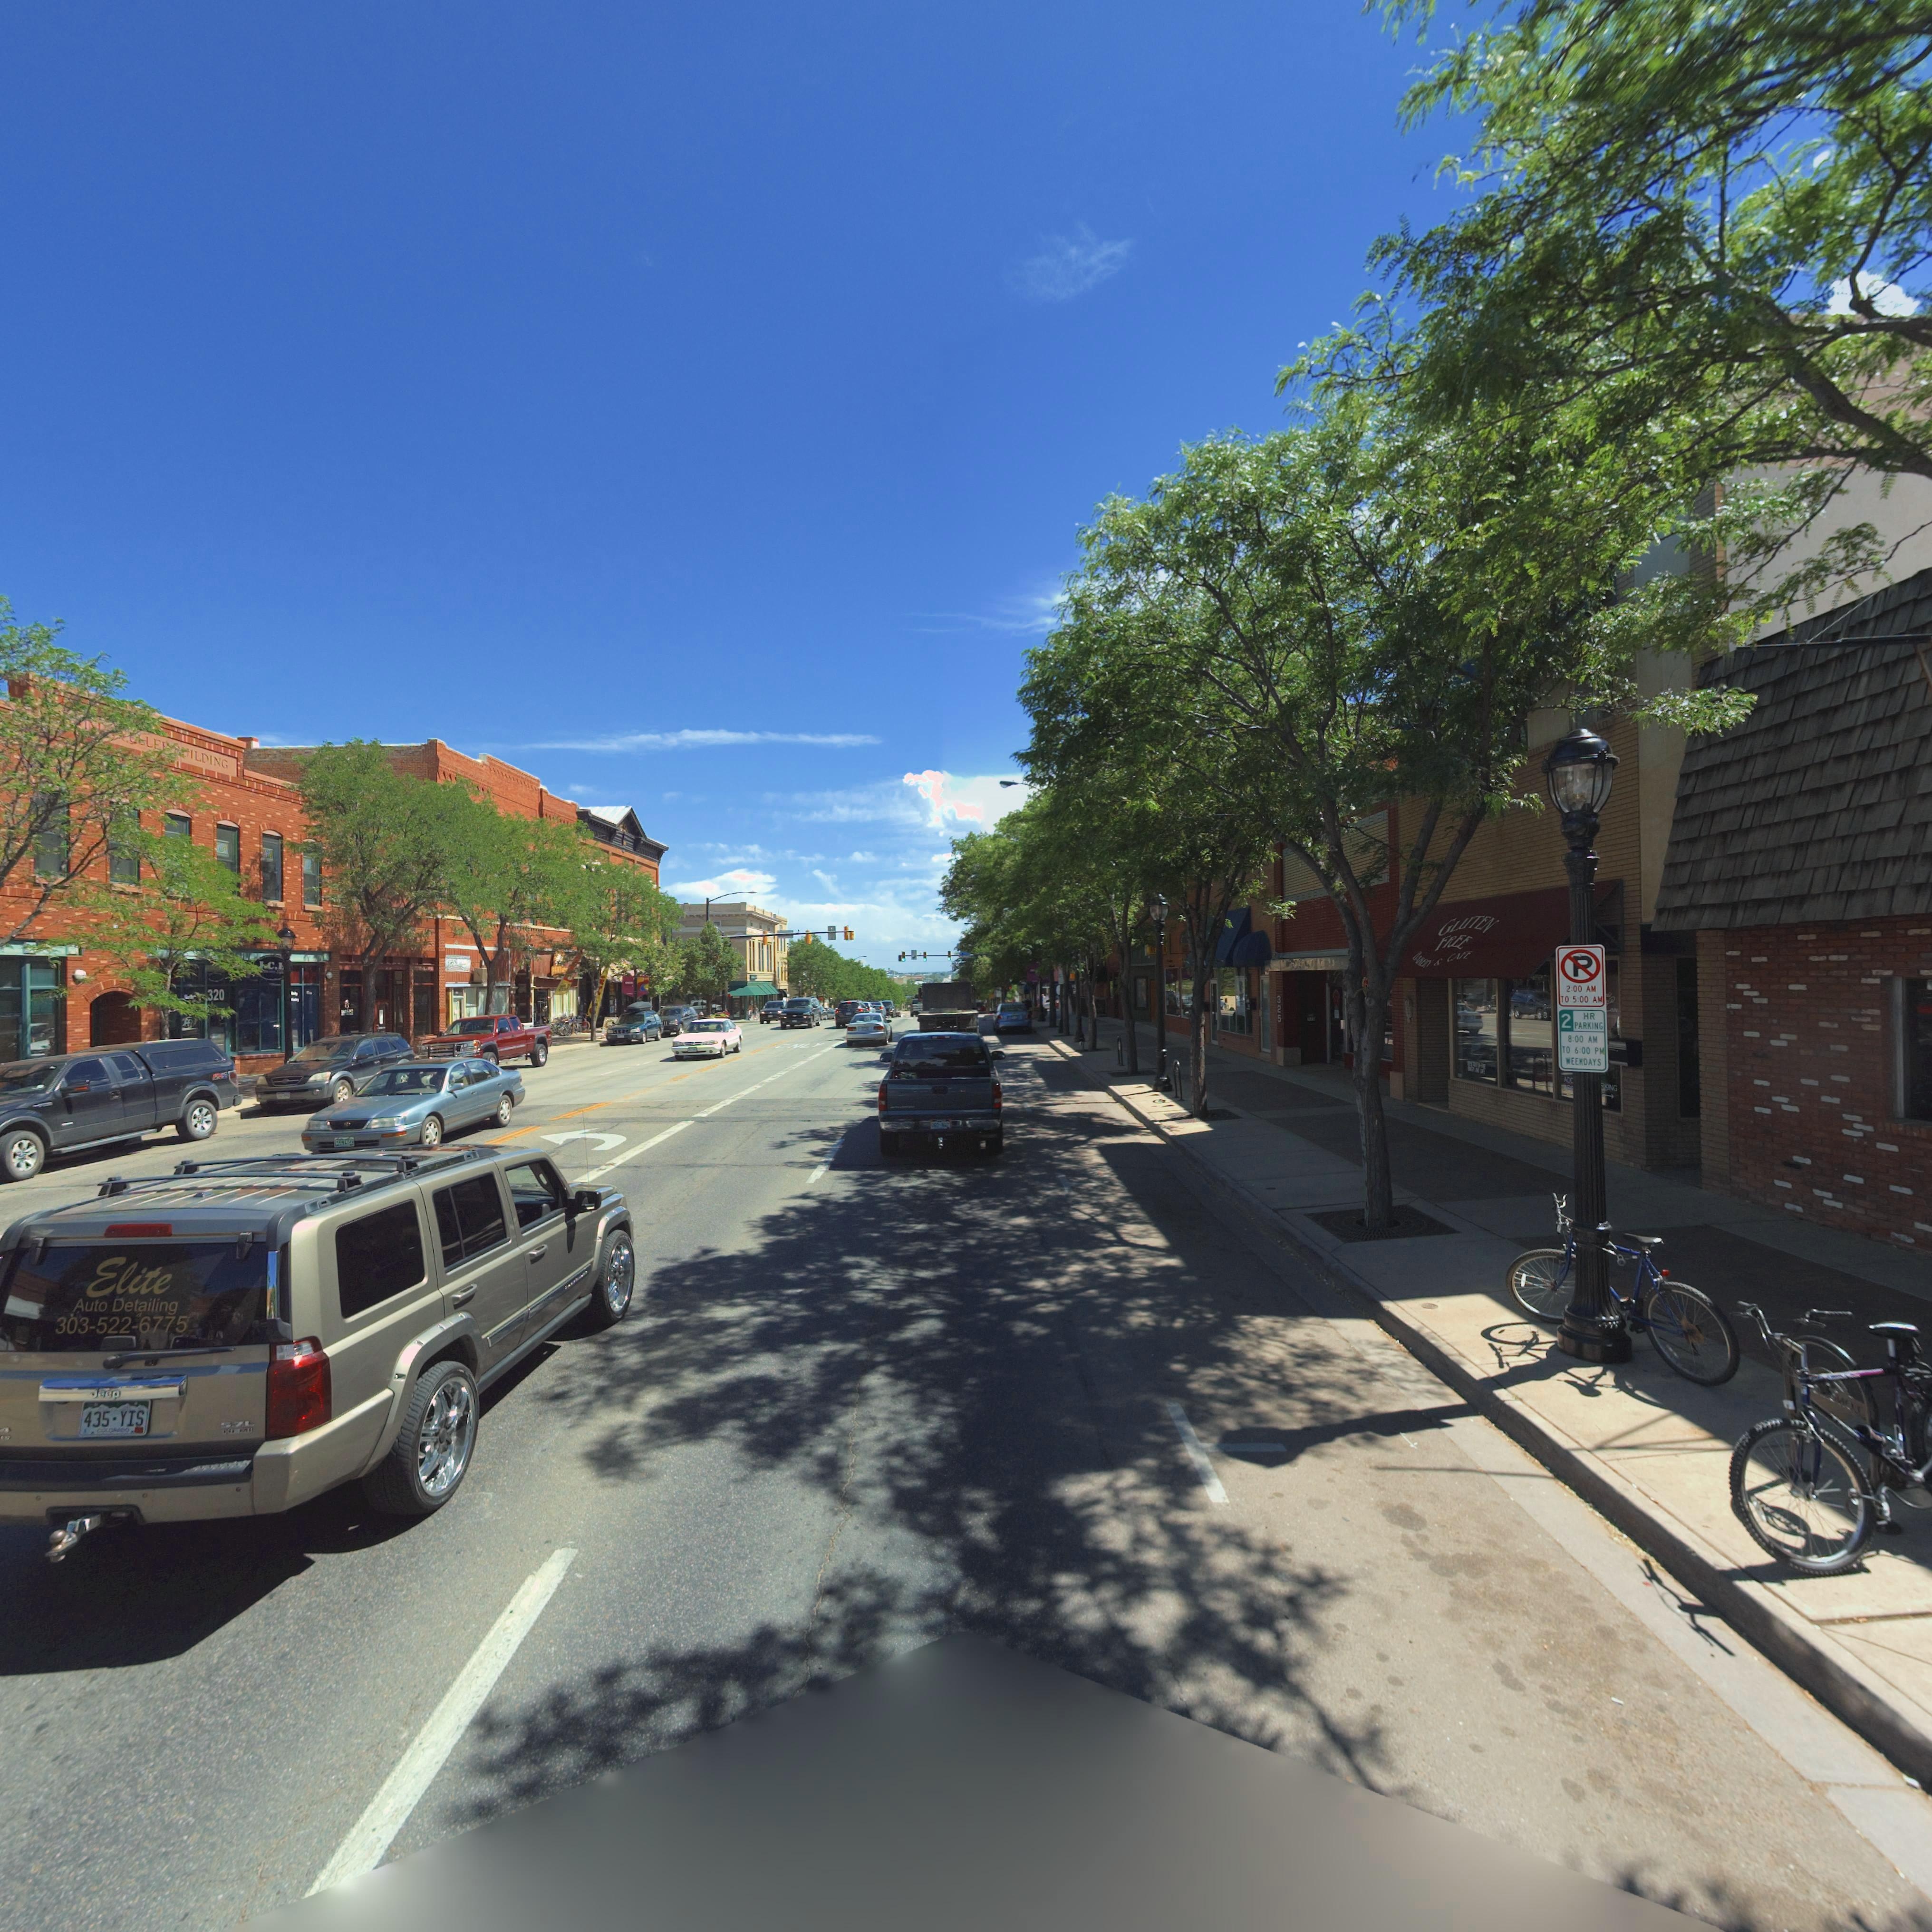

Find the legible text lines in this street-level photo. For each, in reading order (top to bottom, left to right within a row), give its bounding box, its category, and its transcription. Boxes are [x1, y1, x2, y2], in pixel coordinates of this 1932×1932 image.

[258, 960, 285, 970] BusinessName: I.C.E.
[207, 988, 224, 1001] StreetNumber: 320
[1276, 995, 1281, 1023] StreetNumber: 325